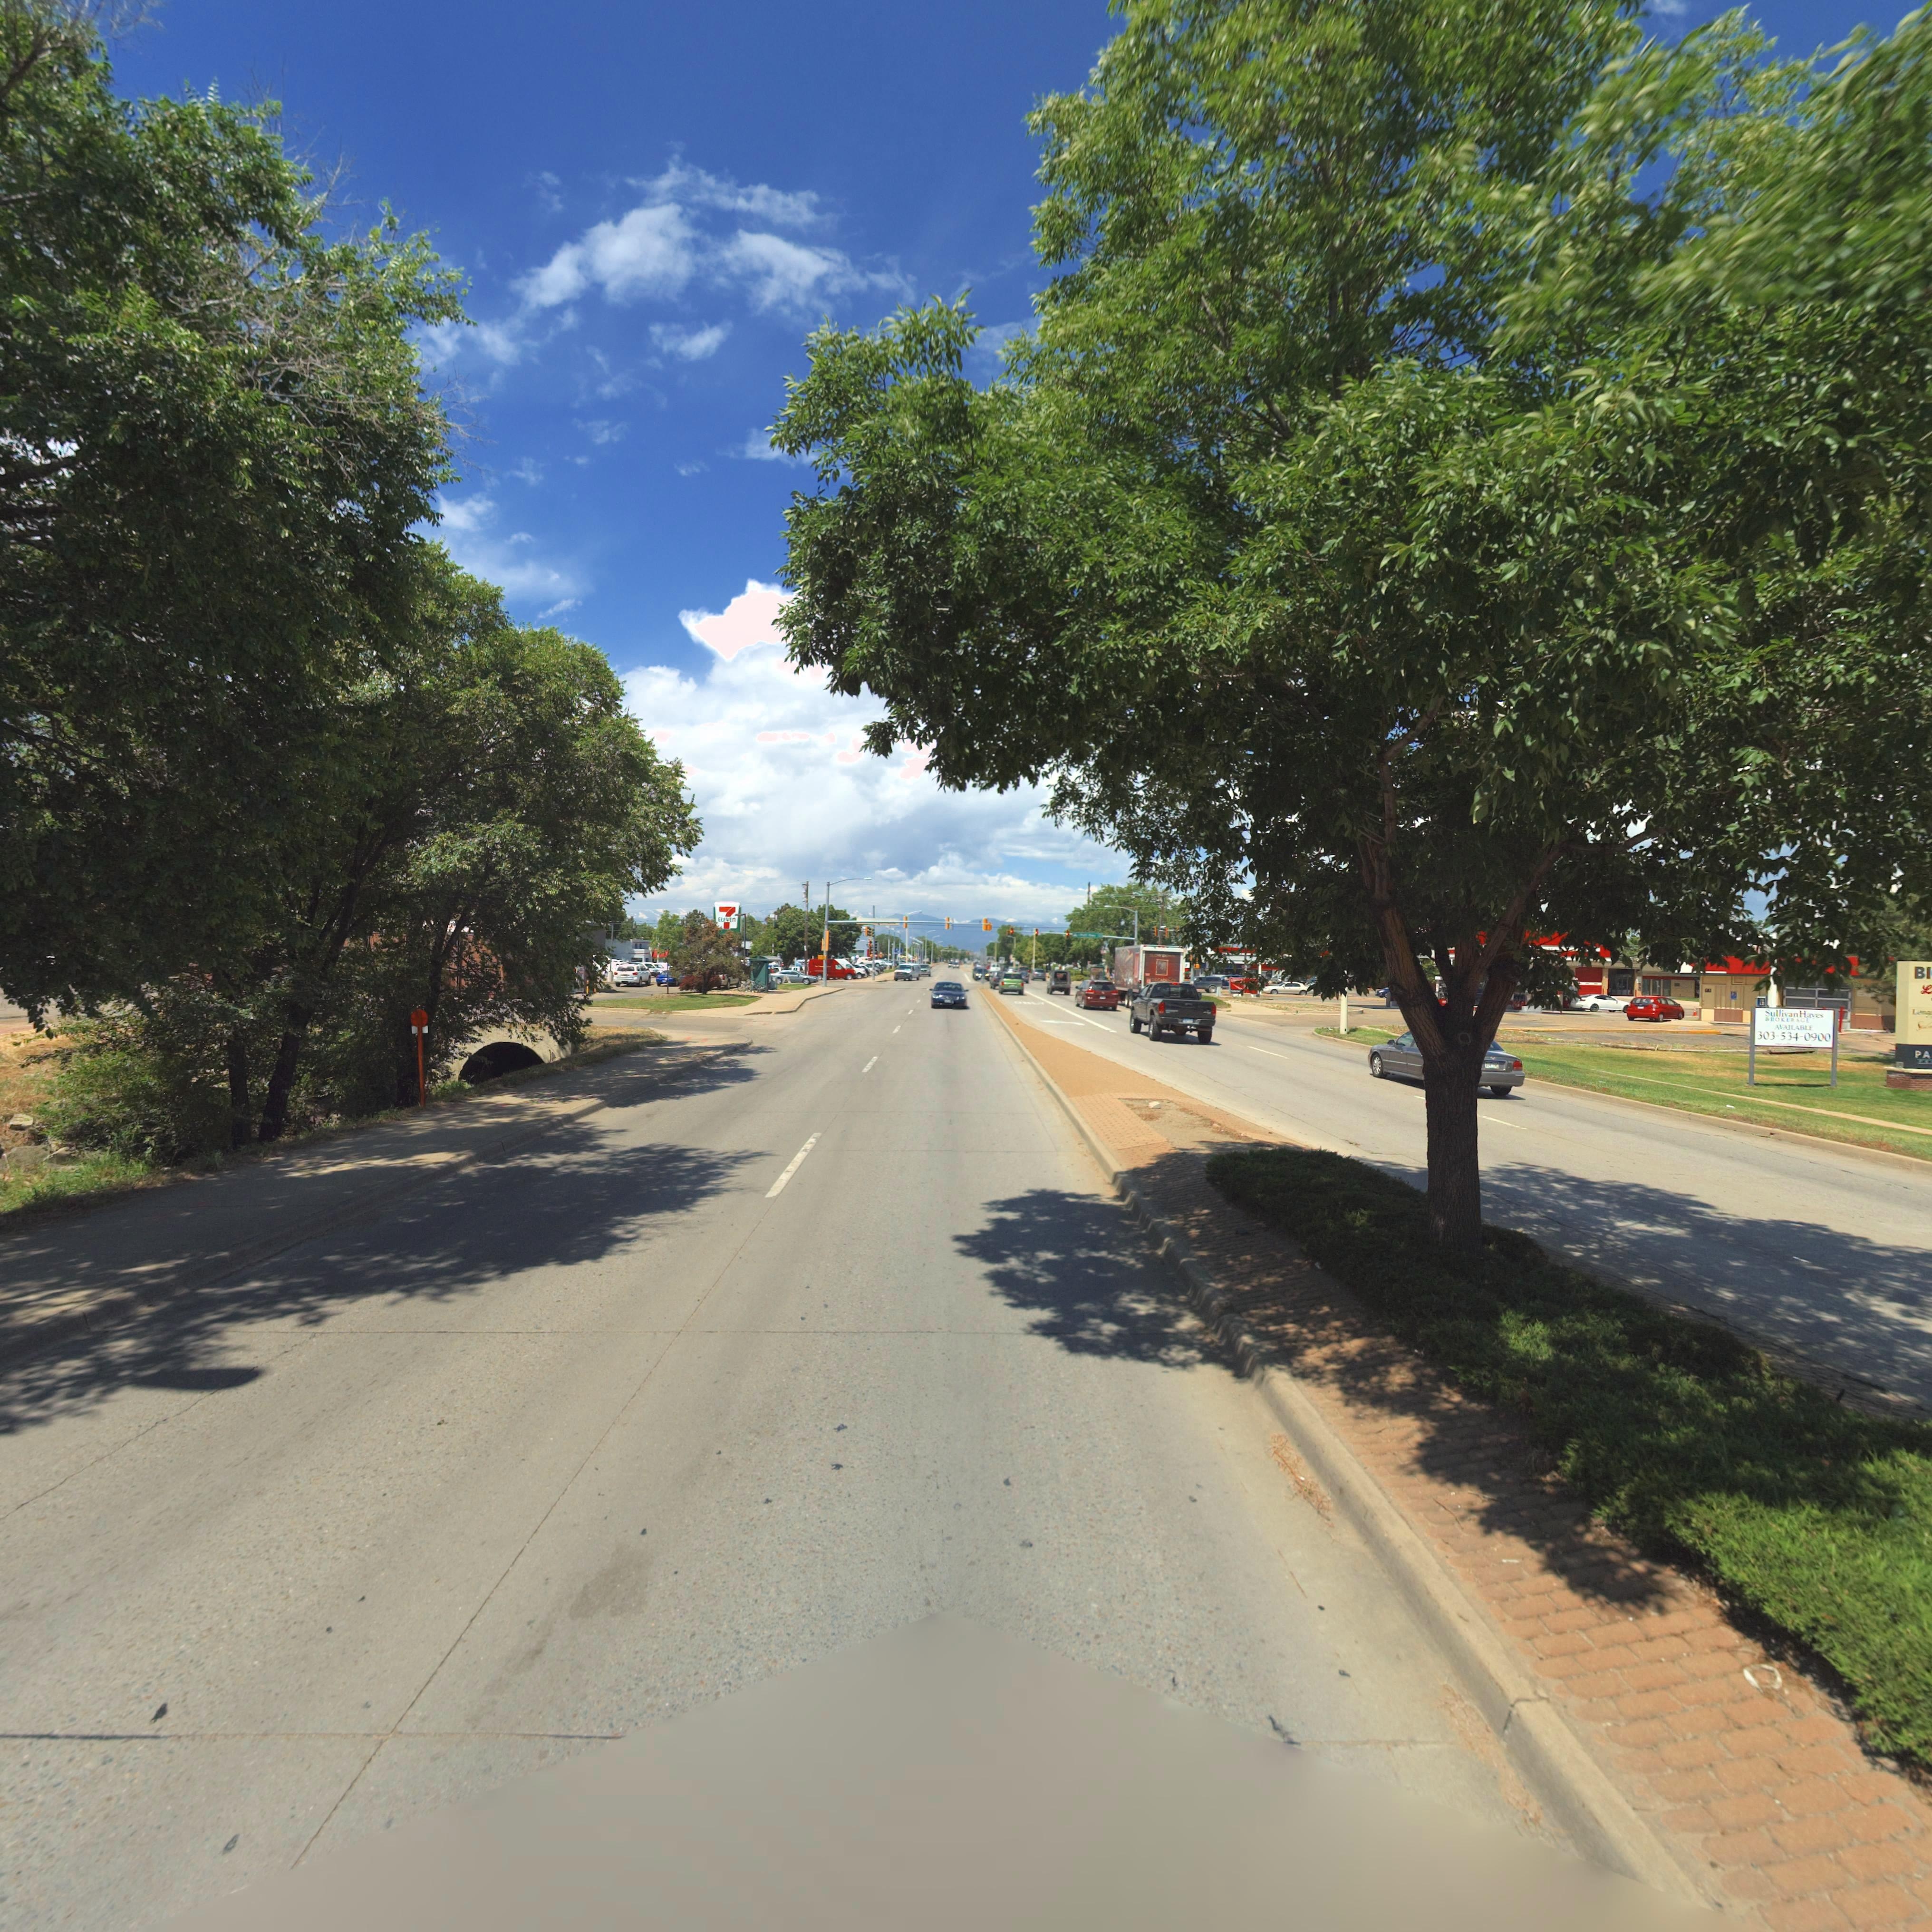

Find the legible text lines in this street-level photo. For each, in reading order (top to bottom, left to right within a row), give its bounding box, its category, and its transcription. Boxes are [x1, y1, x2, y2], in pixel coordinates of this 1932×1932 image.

[717, 917, 735, 922] BusinessName: ELEVEN
[1915, 967, 1925, 978] BusinessName: B
[1911, 1008, 1917, 1015] BusinessName: L